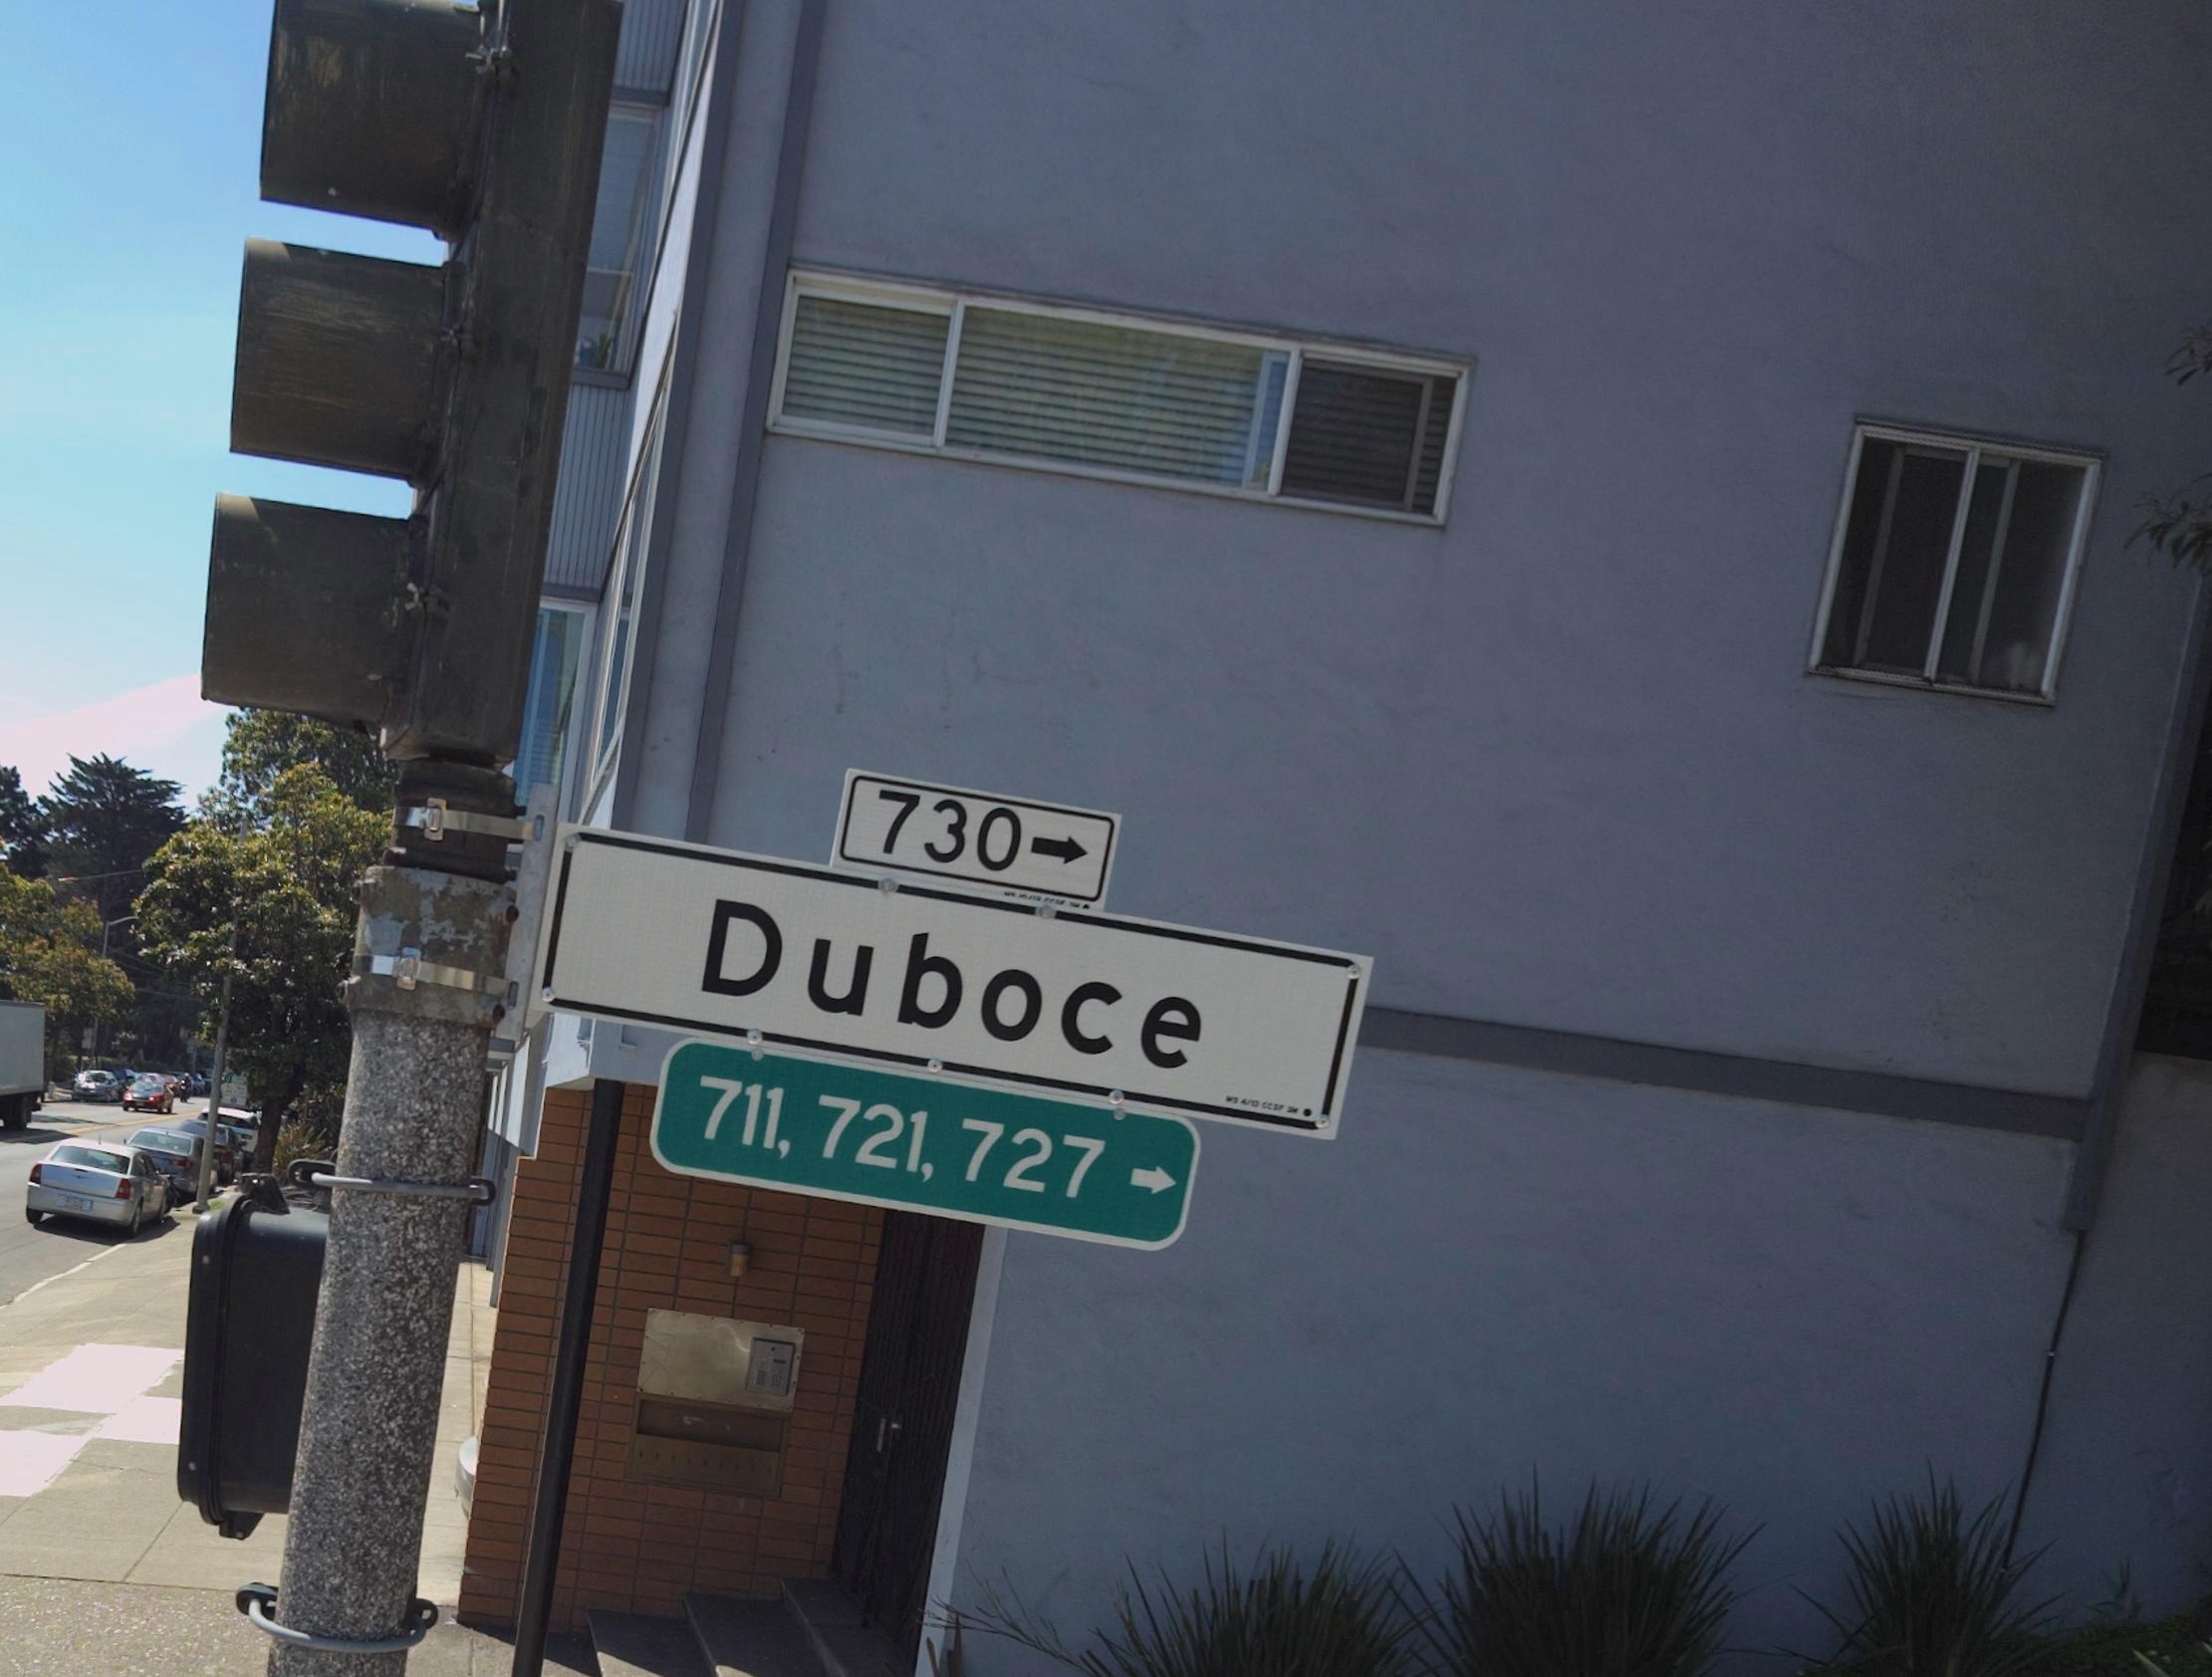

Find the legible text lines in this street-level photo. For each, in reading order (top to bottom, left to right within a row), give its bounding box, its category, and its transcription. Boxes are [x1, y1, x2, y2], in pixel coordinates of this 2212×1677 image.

[854, 778, 1094, 893] StreetNumberRange: 730->
[694, 893, 1217, 1078] StreetName: Duboce
[686, 1066, 1185, 1223] StreetNumber: 711, 721, 727->